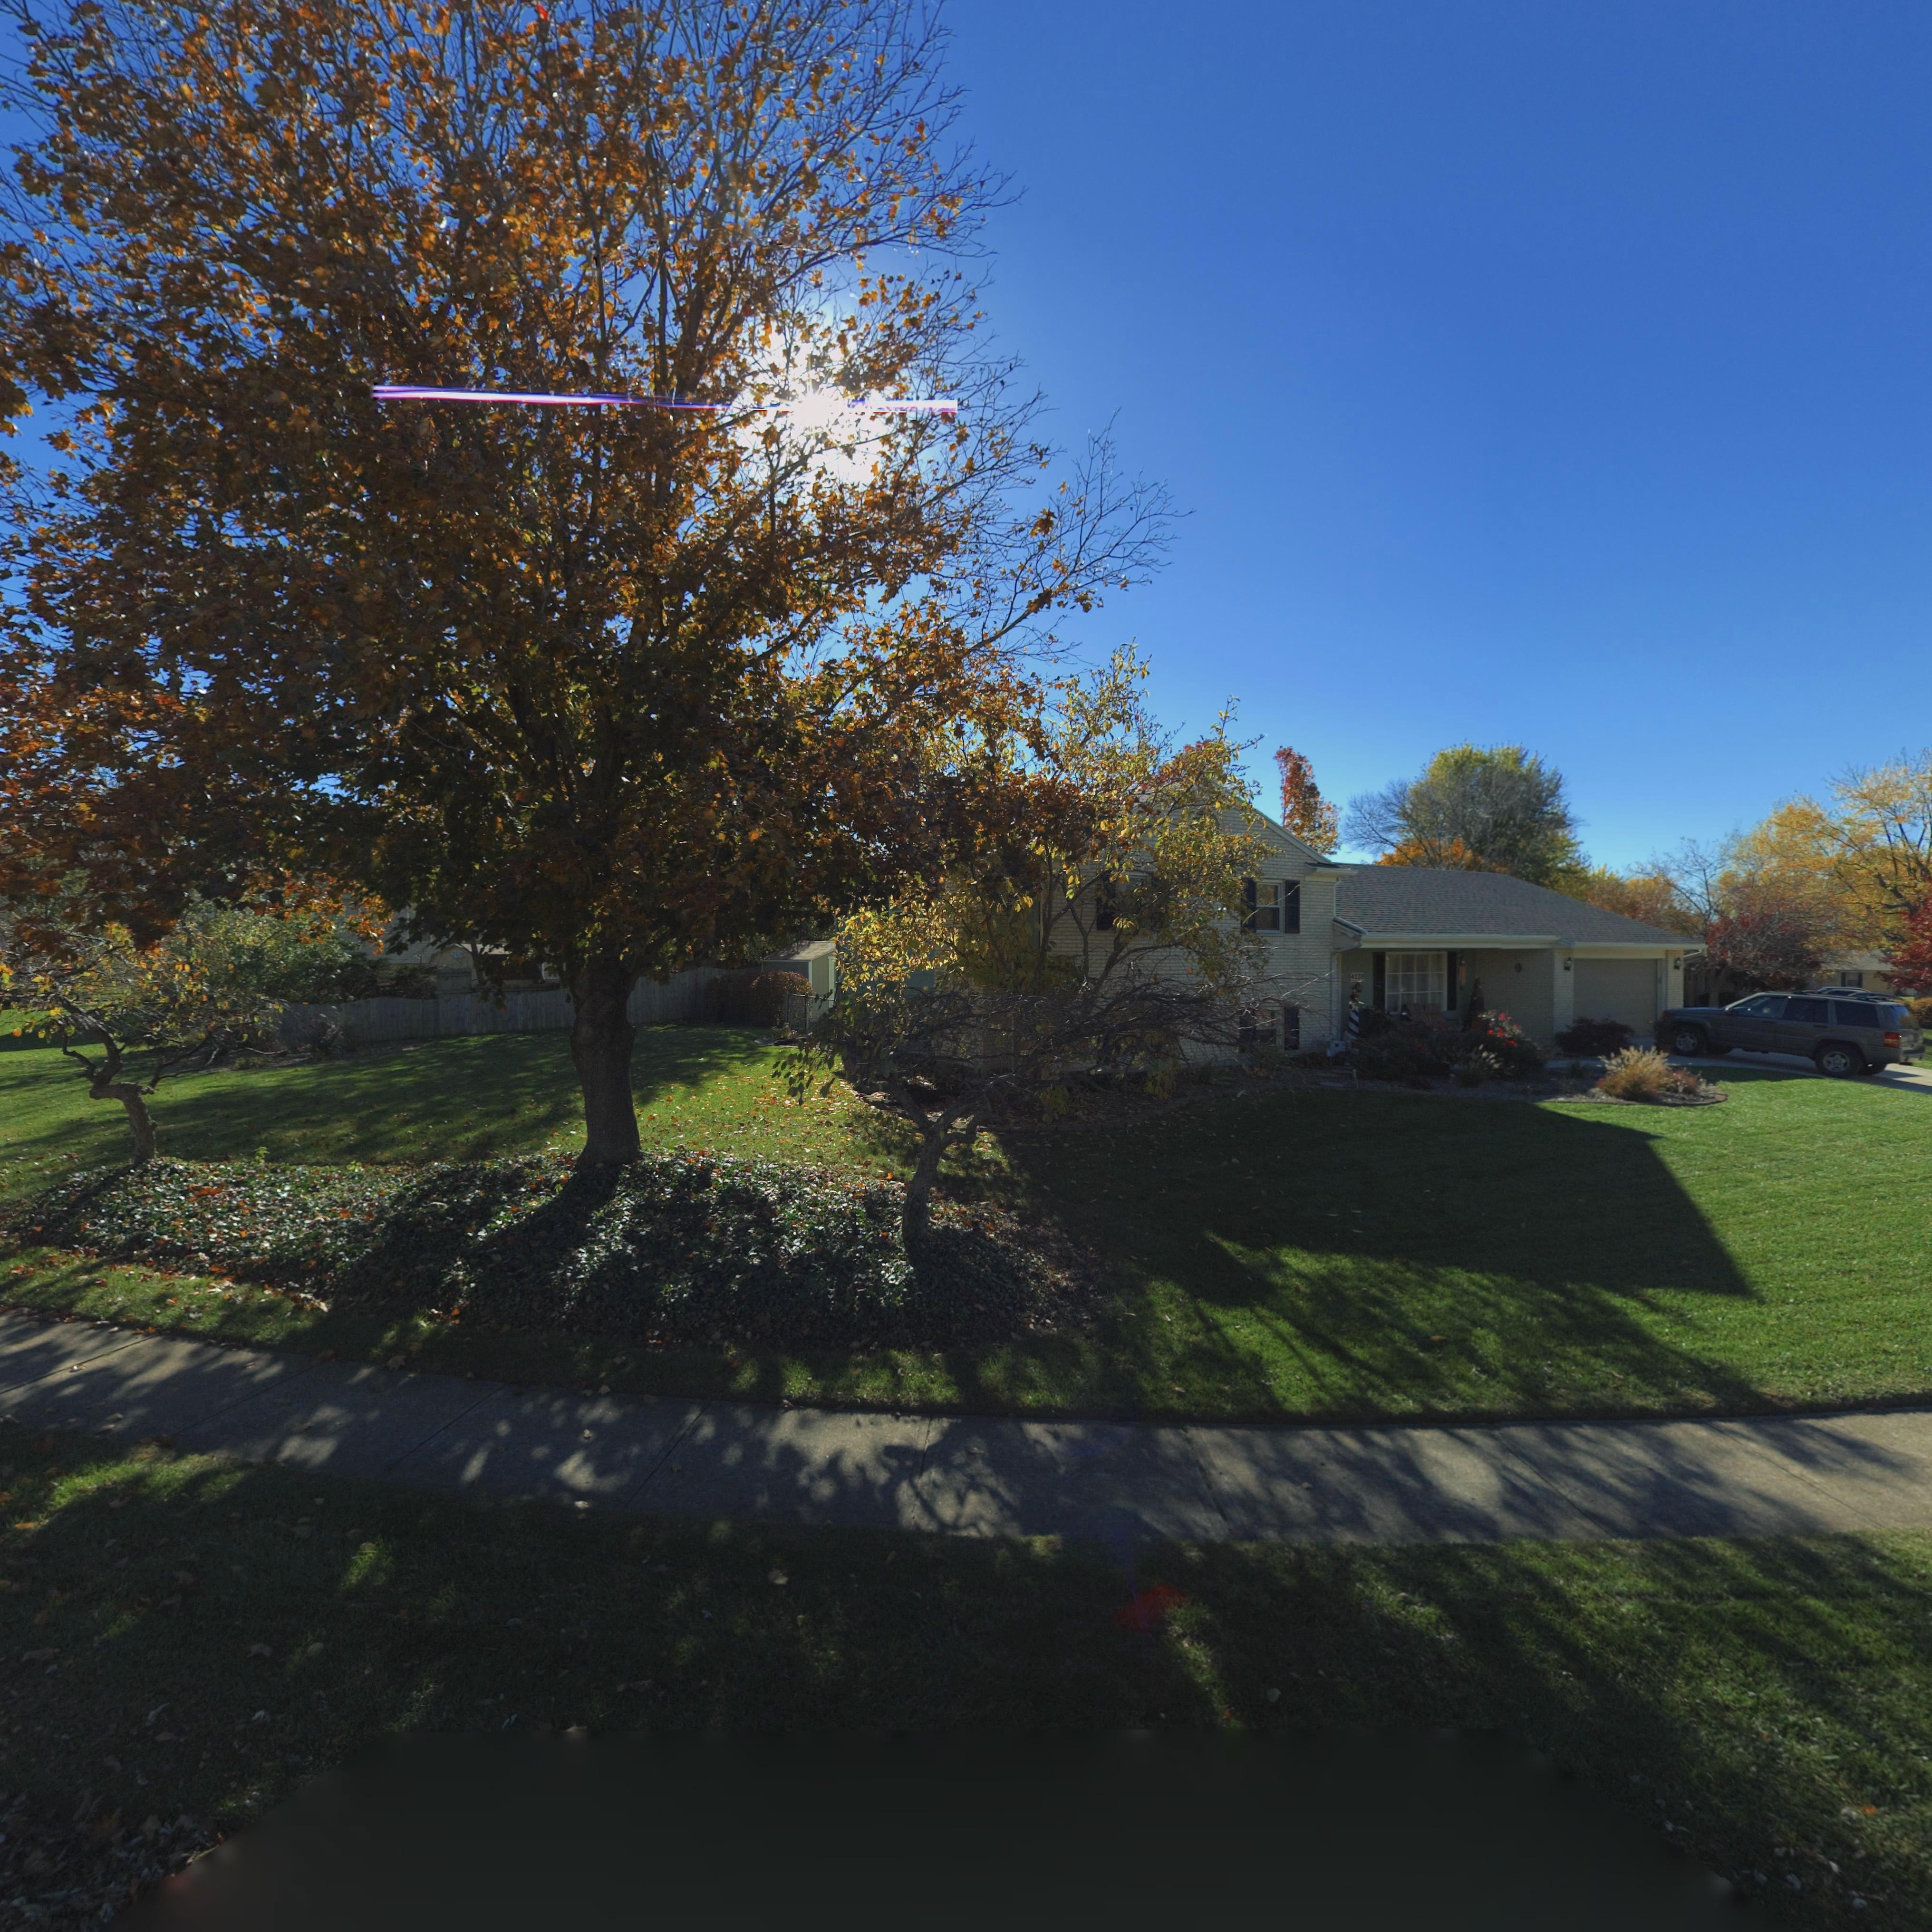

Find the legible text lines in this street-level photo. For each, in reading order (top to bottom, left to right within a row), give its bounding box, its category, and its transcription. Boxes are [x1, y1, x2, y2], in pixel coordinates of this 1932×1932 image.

[1350, 972, 1365, 980] StreetNumber: 4238